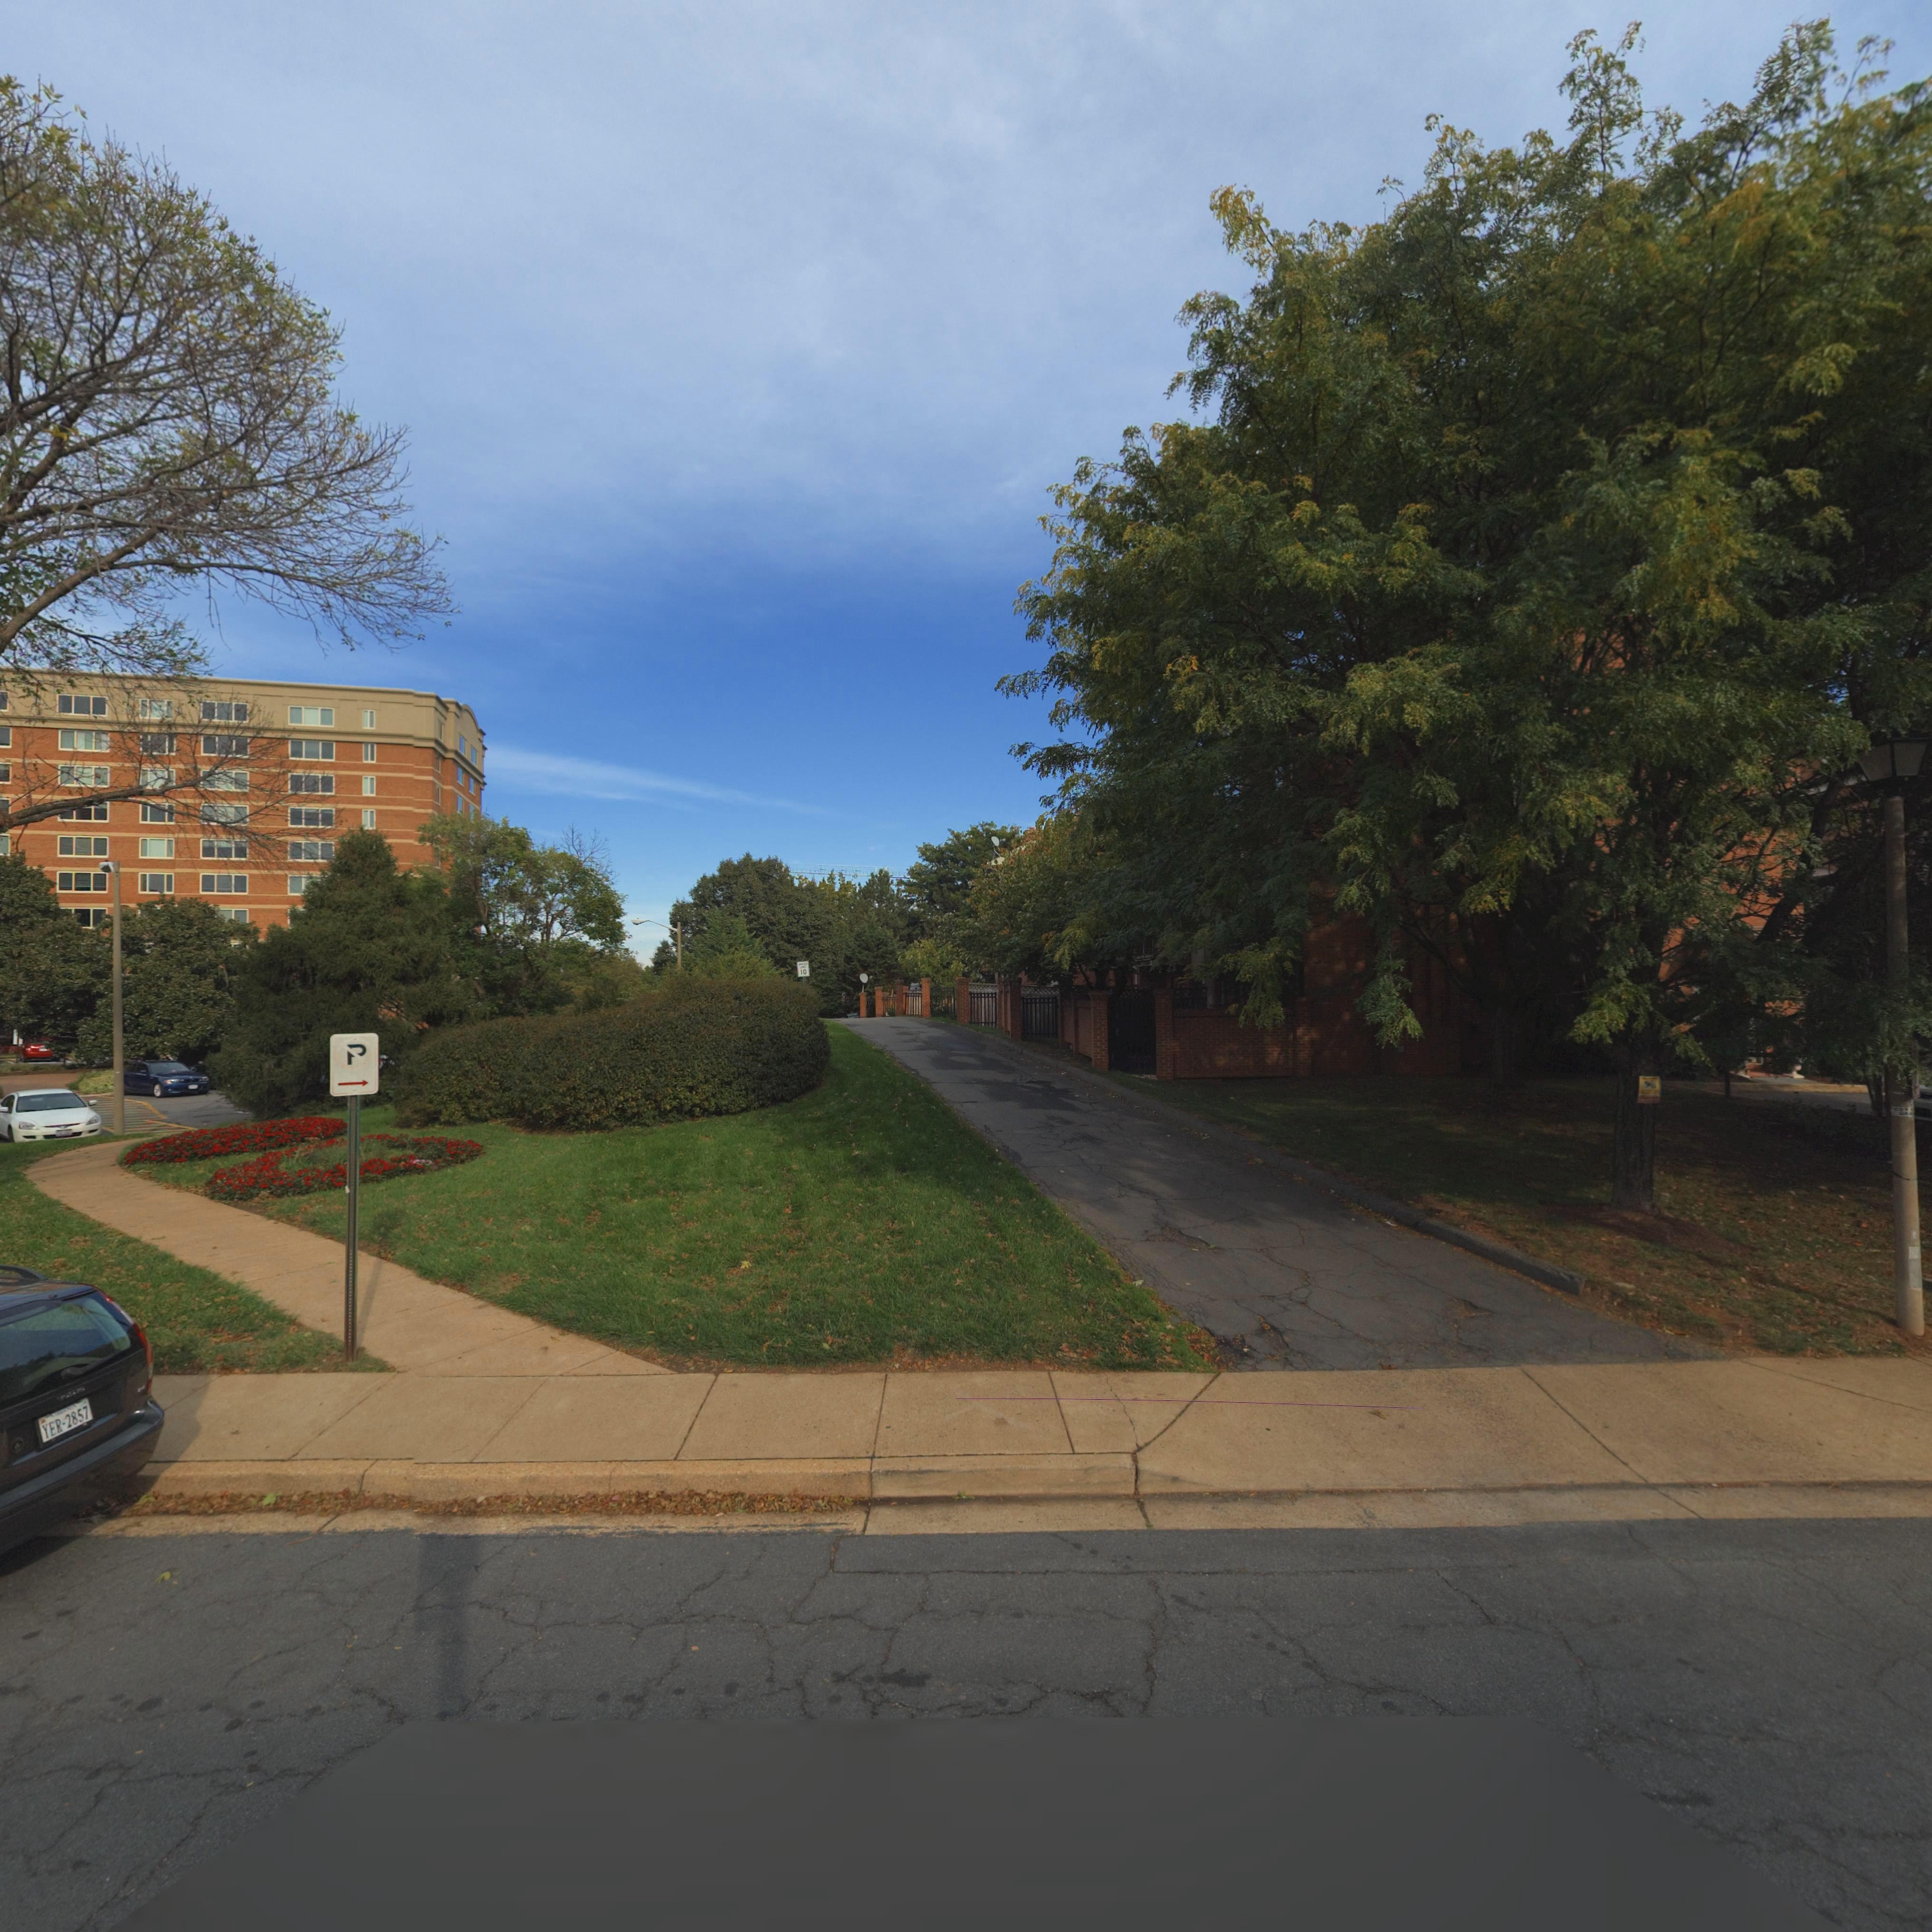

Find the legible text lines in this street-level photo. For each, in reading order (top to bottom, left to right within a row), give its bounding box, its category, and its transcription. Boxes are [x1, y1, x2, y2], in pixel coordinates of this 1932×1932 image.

[798, 963, 807, 966] None: SPEED
[799, 966, 807, 969] None: LIMIT
[800, 969, 807, 975] None: 10
[40, 1404, 89, 1439] None: YER-2857